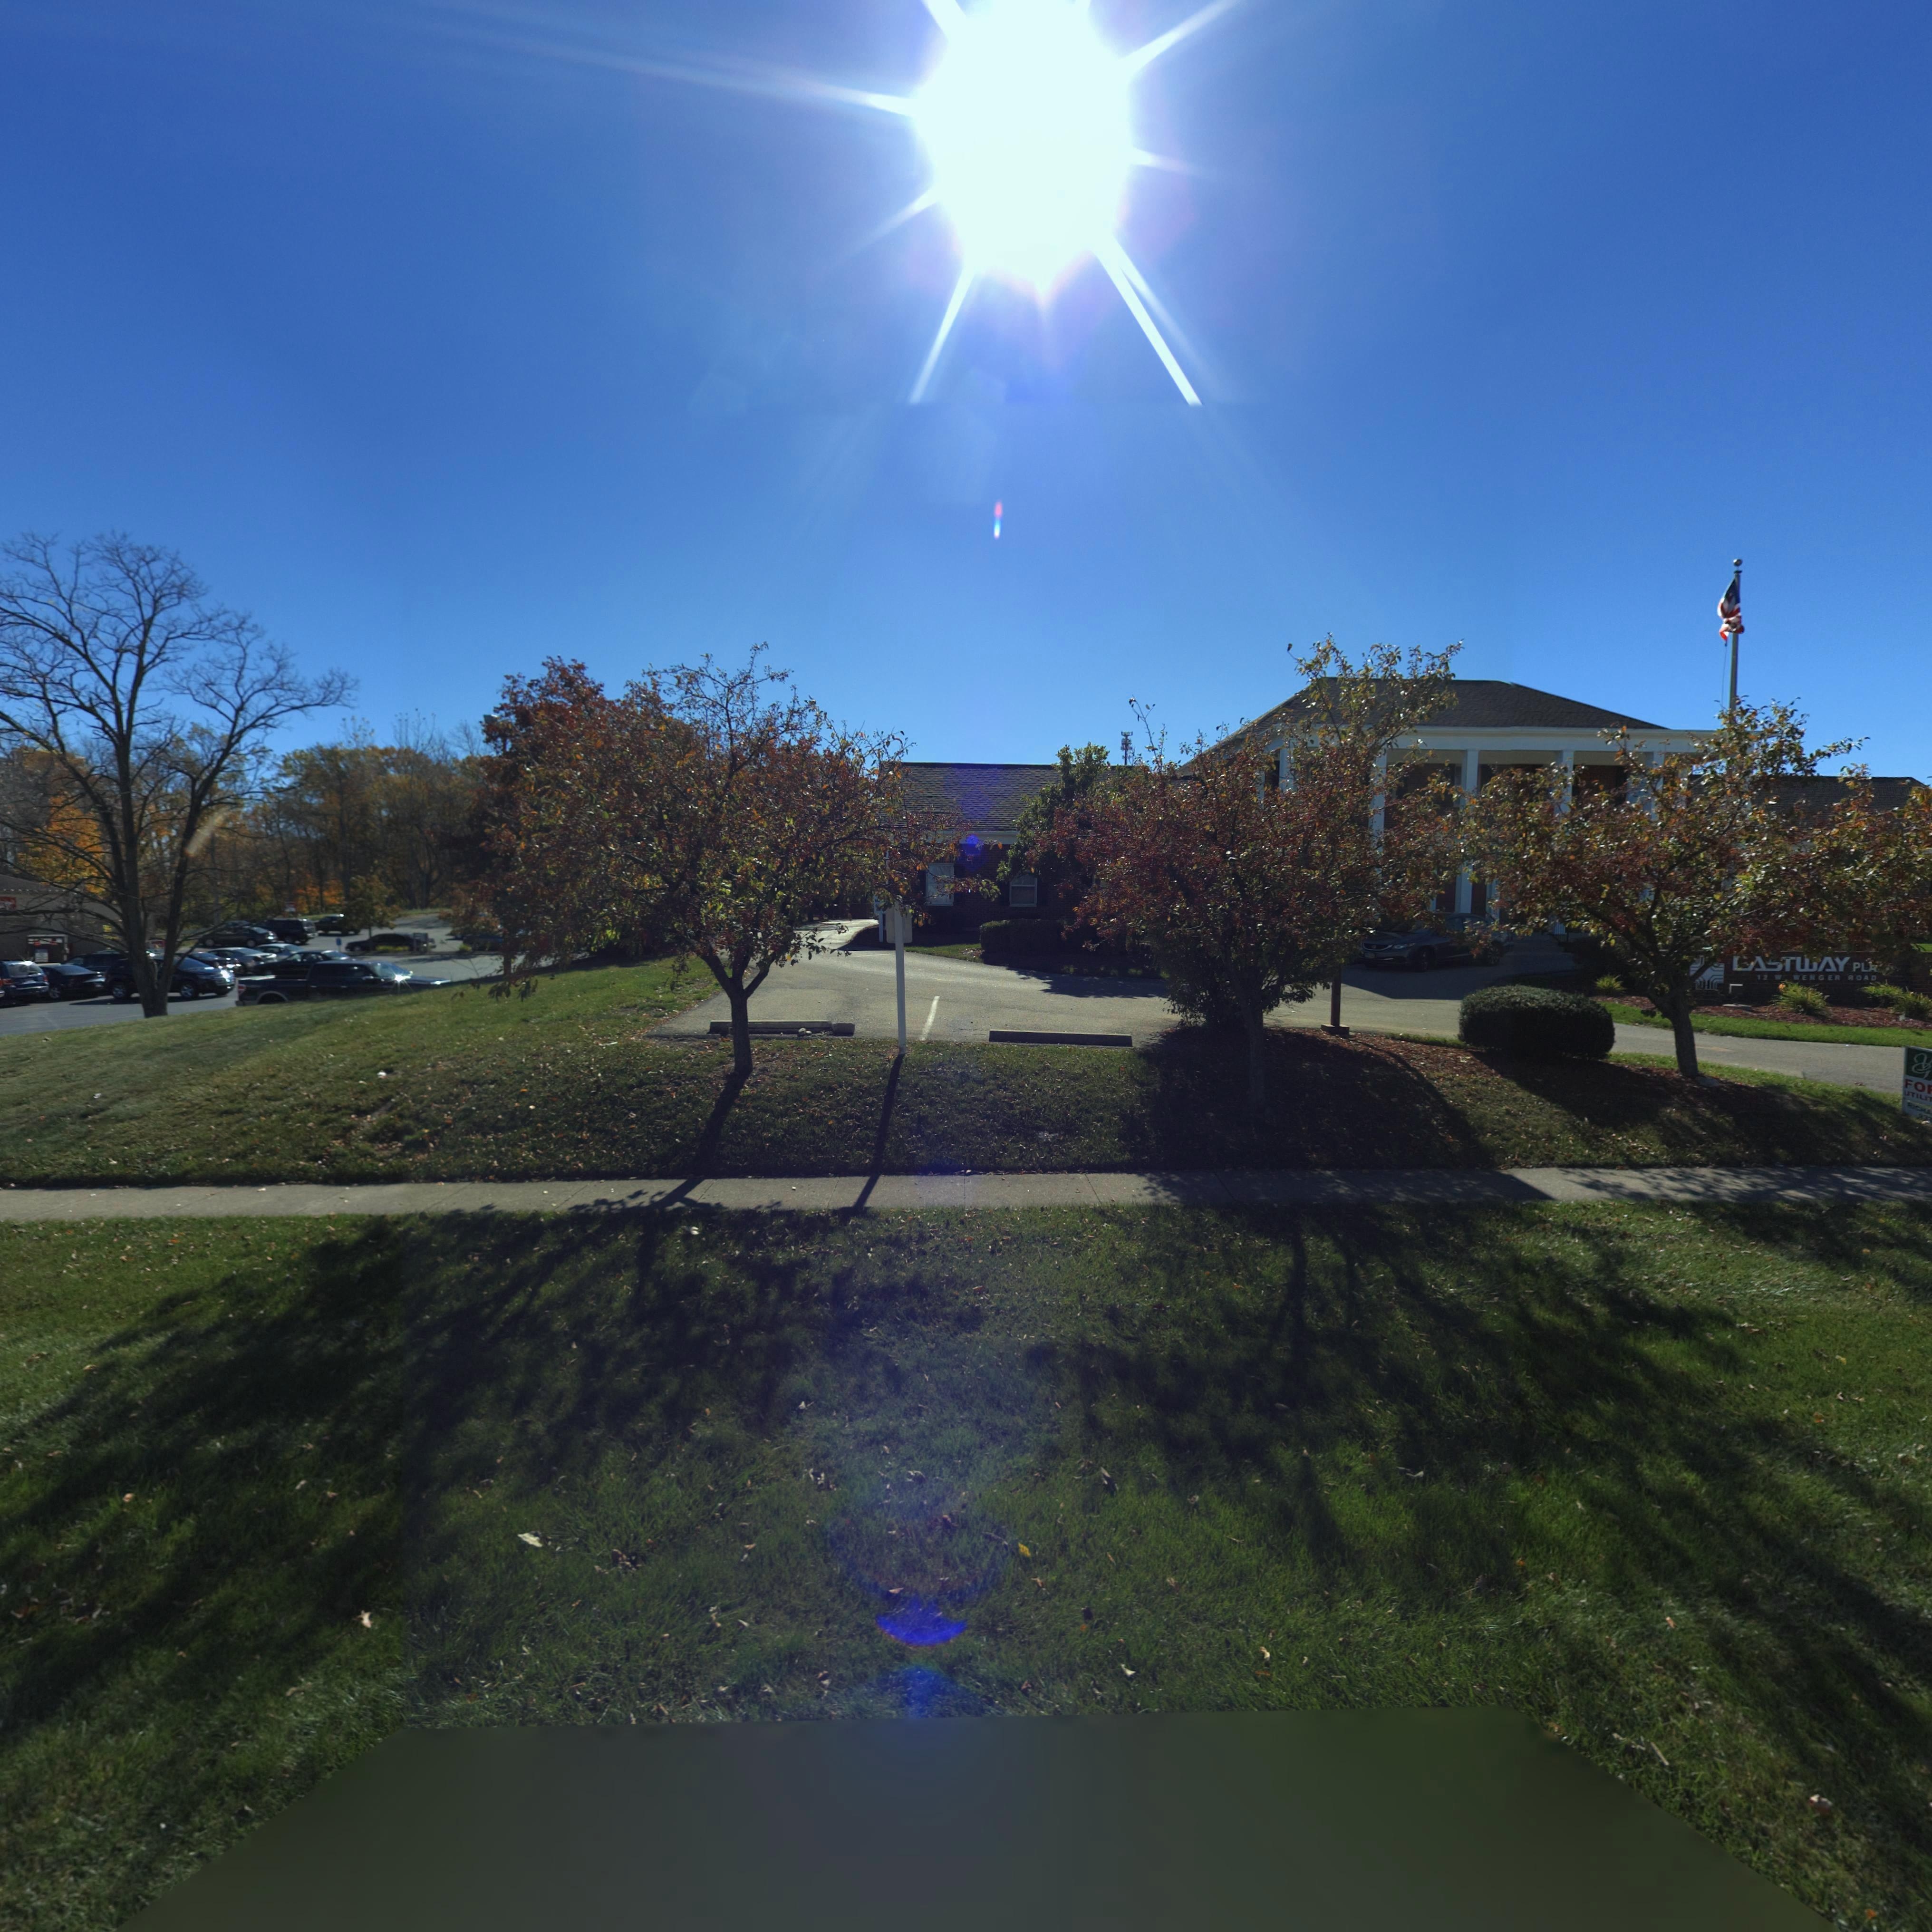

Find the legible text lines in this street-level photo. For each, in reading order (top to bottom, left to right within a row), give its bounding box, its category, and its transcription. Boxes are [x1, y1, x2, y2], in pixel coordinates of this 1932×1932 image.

[1757, 974, 1769, 981] StreetNumber: 12
[1773, 974, 1878, 982] StreetName: W WENGER ROAD